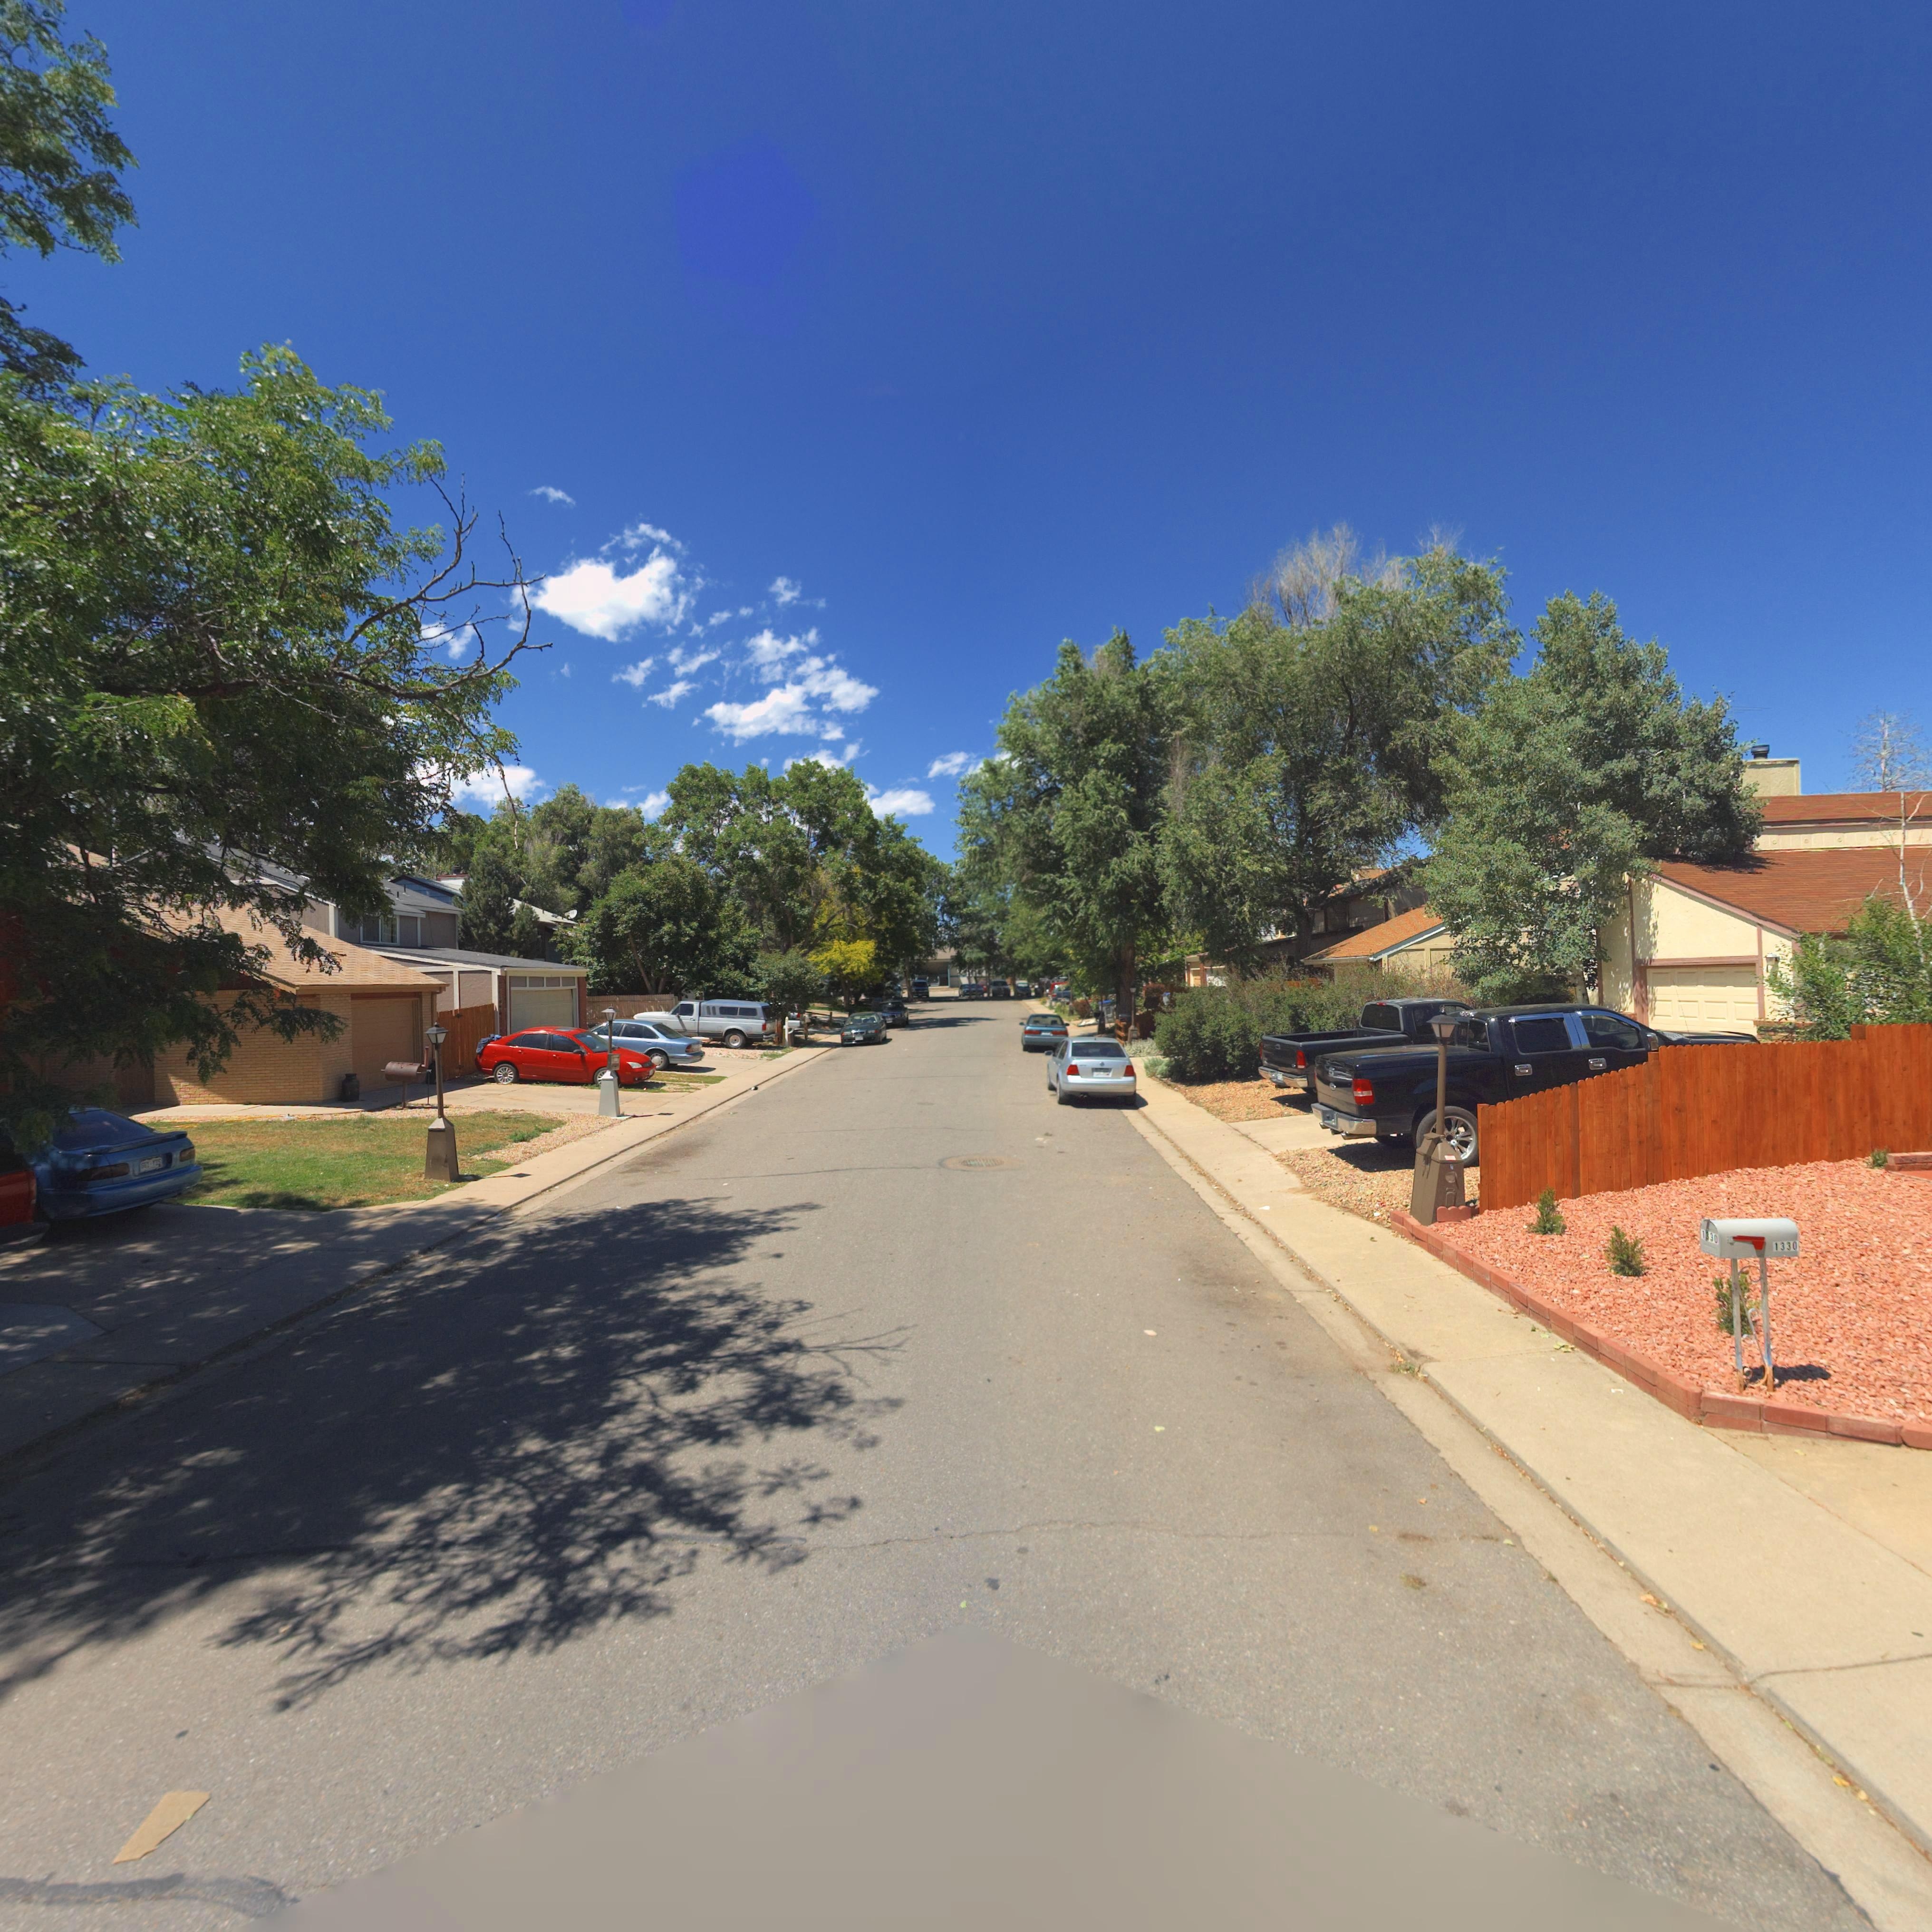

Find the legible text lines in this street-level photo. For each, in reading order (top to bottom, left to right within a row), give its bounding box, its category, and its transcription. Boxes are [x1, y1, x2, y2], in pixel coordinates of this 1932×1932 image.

[1701, 1229, 1718, 1244] StreetNumber: 1330
[1774, 1240, 1797, 1251] StreetNumber: 1330